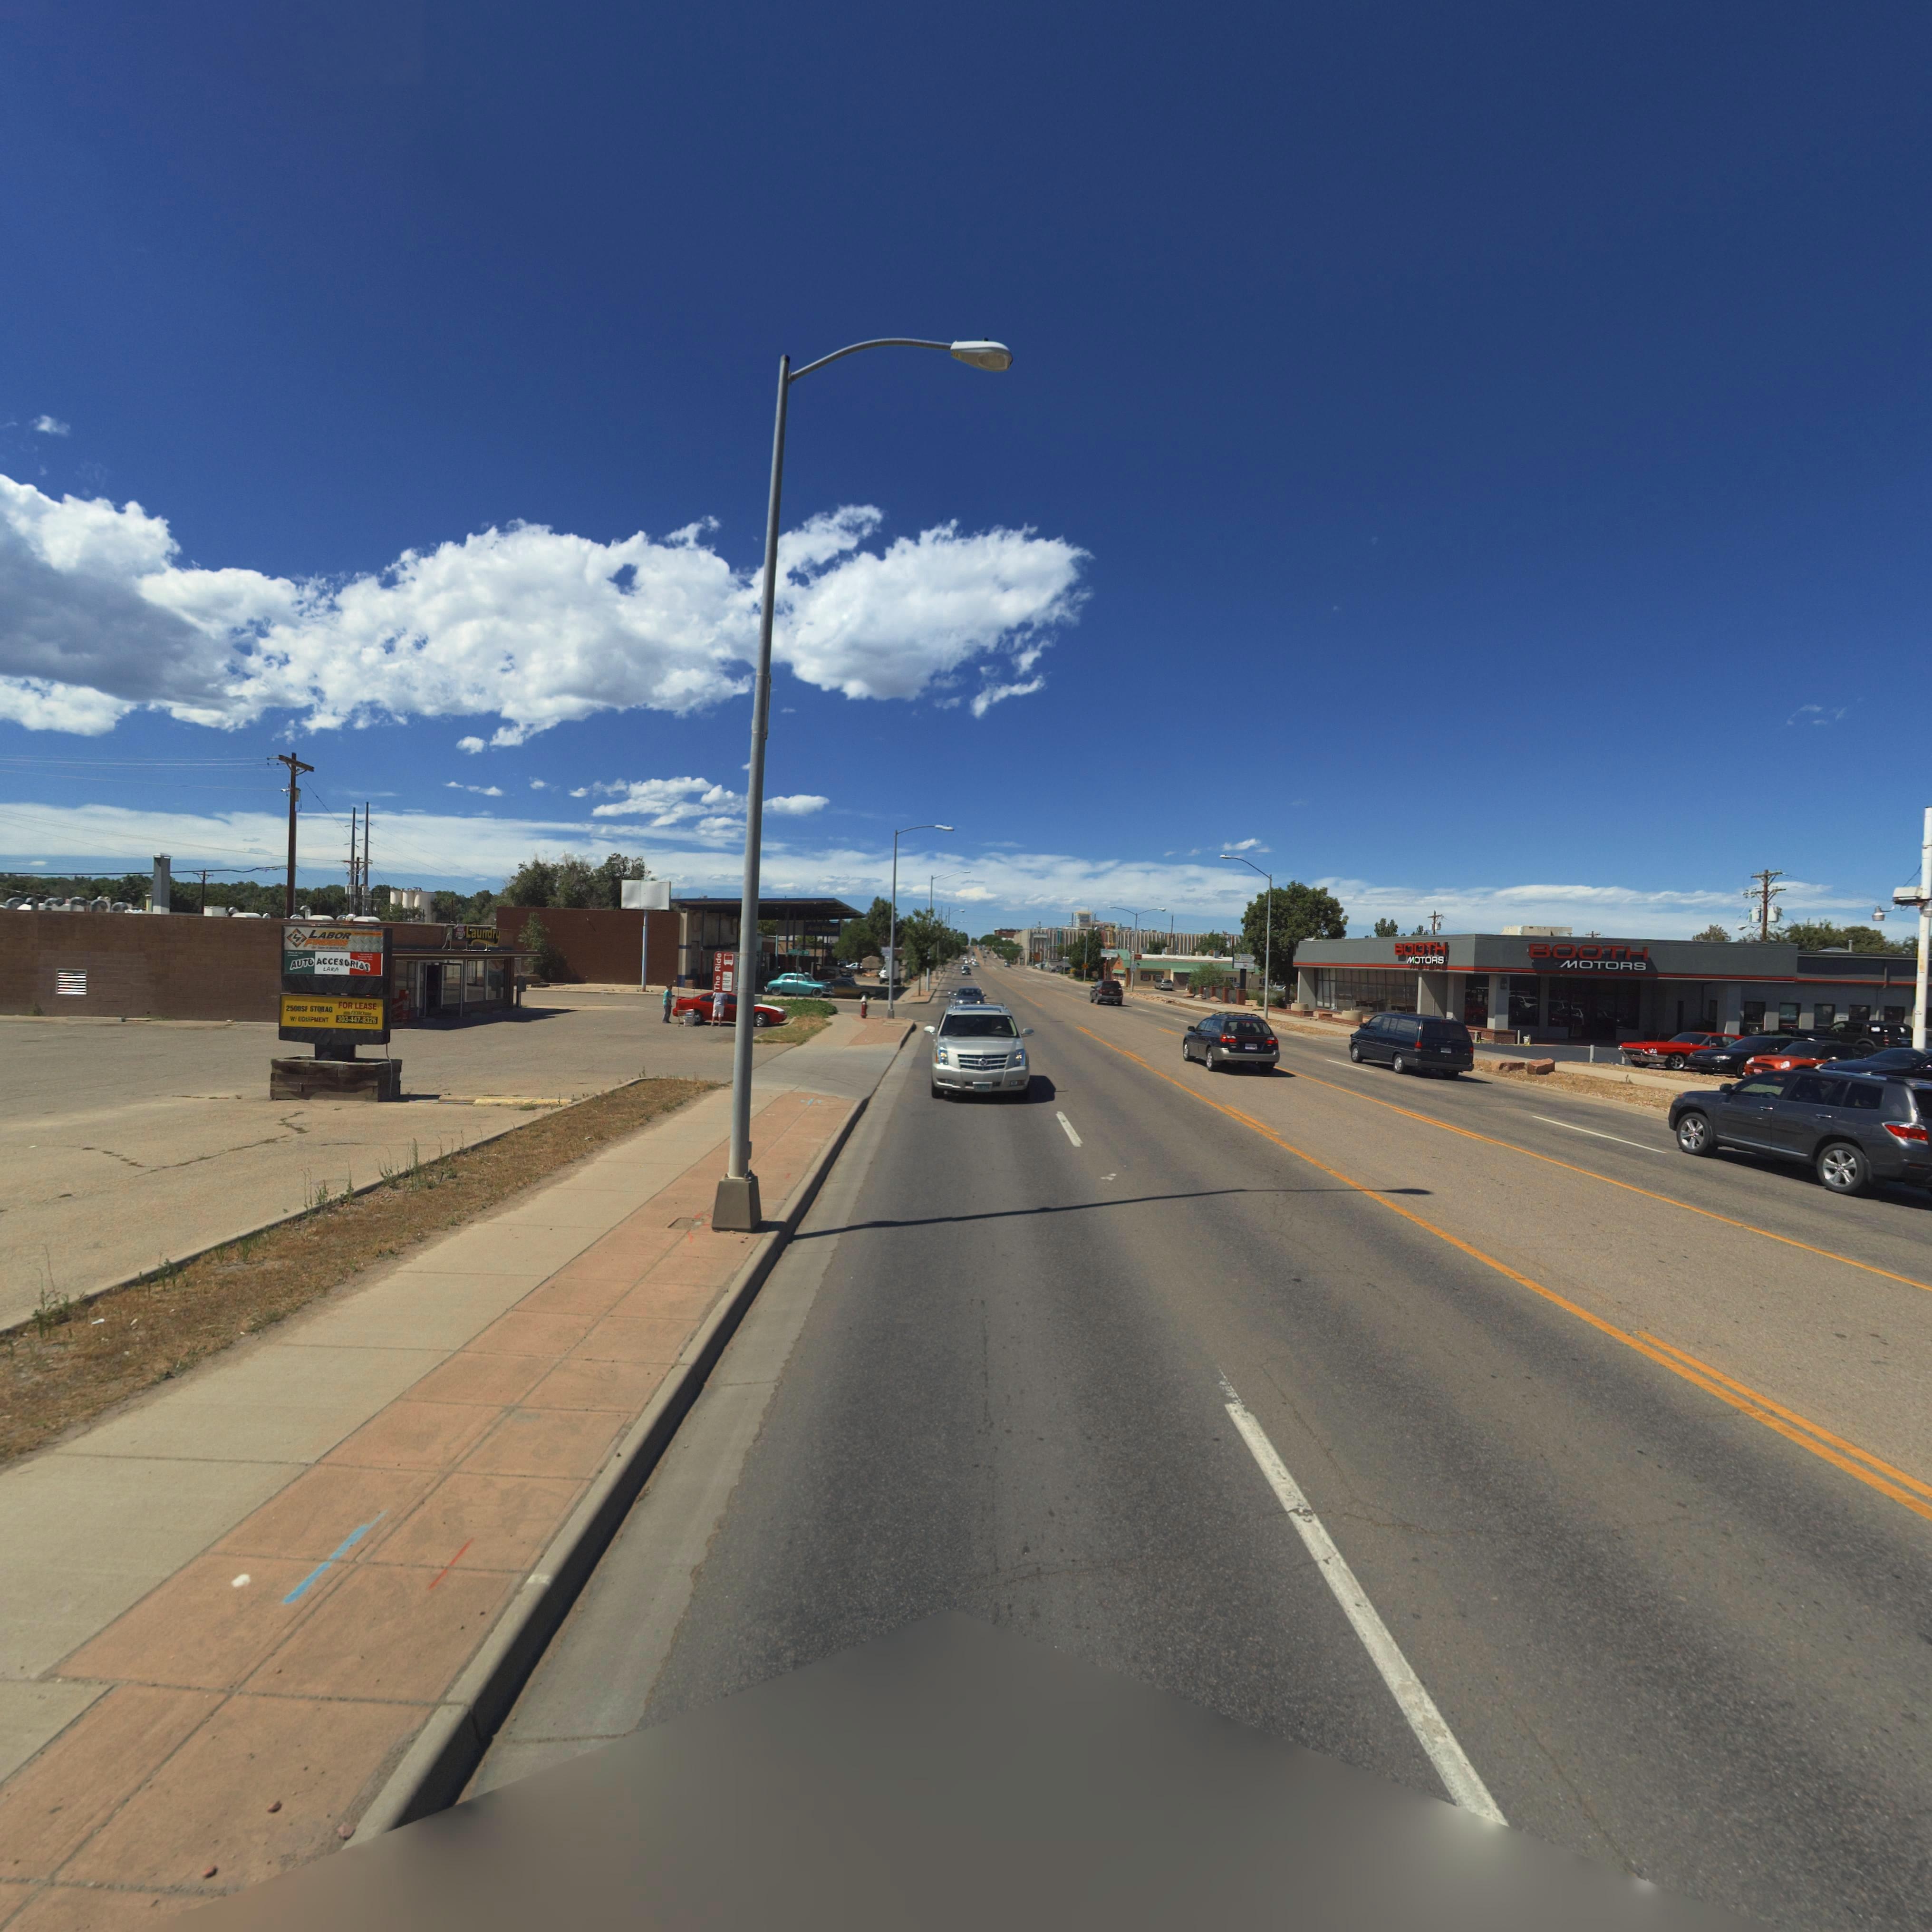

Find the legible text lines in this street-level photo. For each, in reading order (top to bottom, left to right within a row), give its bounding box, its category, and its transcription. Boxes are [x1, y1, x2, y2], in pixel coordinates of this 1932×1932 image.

[307, 929, 352, 939] BusinessName: LABOR
[455, 930, 465, 938] BusinessName: ST**ET
[457, 927, 464, 932] BusinessName: ***N
[466, 926, 501, 946] BusinessName: Laundry
[302, 937, 349, 947] BusinessName: FINDERS
[1394, 941, 1446, 956] BusinessName: BOOTH
[1528, 943, 1649, 961] BusinessName: BOOTH
[290, 957, 370, 972] BusinessName: AUTO ACCESORI*S
[322, 966, 339, 972] BusinessName: LARA
[1405, 956, 1444, 964] BusinessName: MOTORS
[1557, 960, 1646, 971] BusinessName: MOTORS